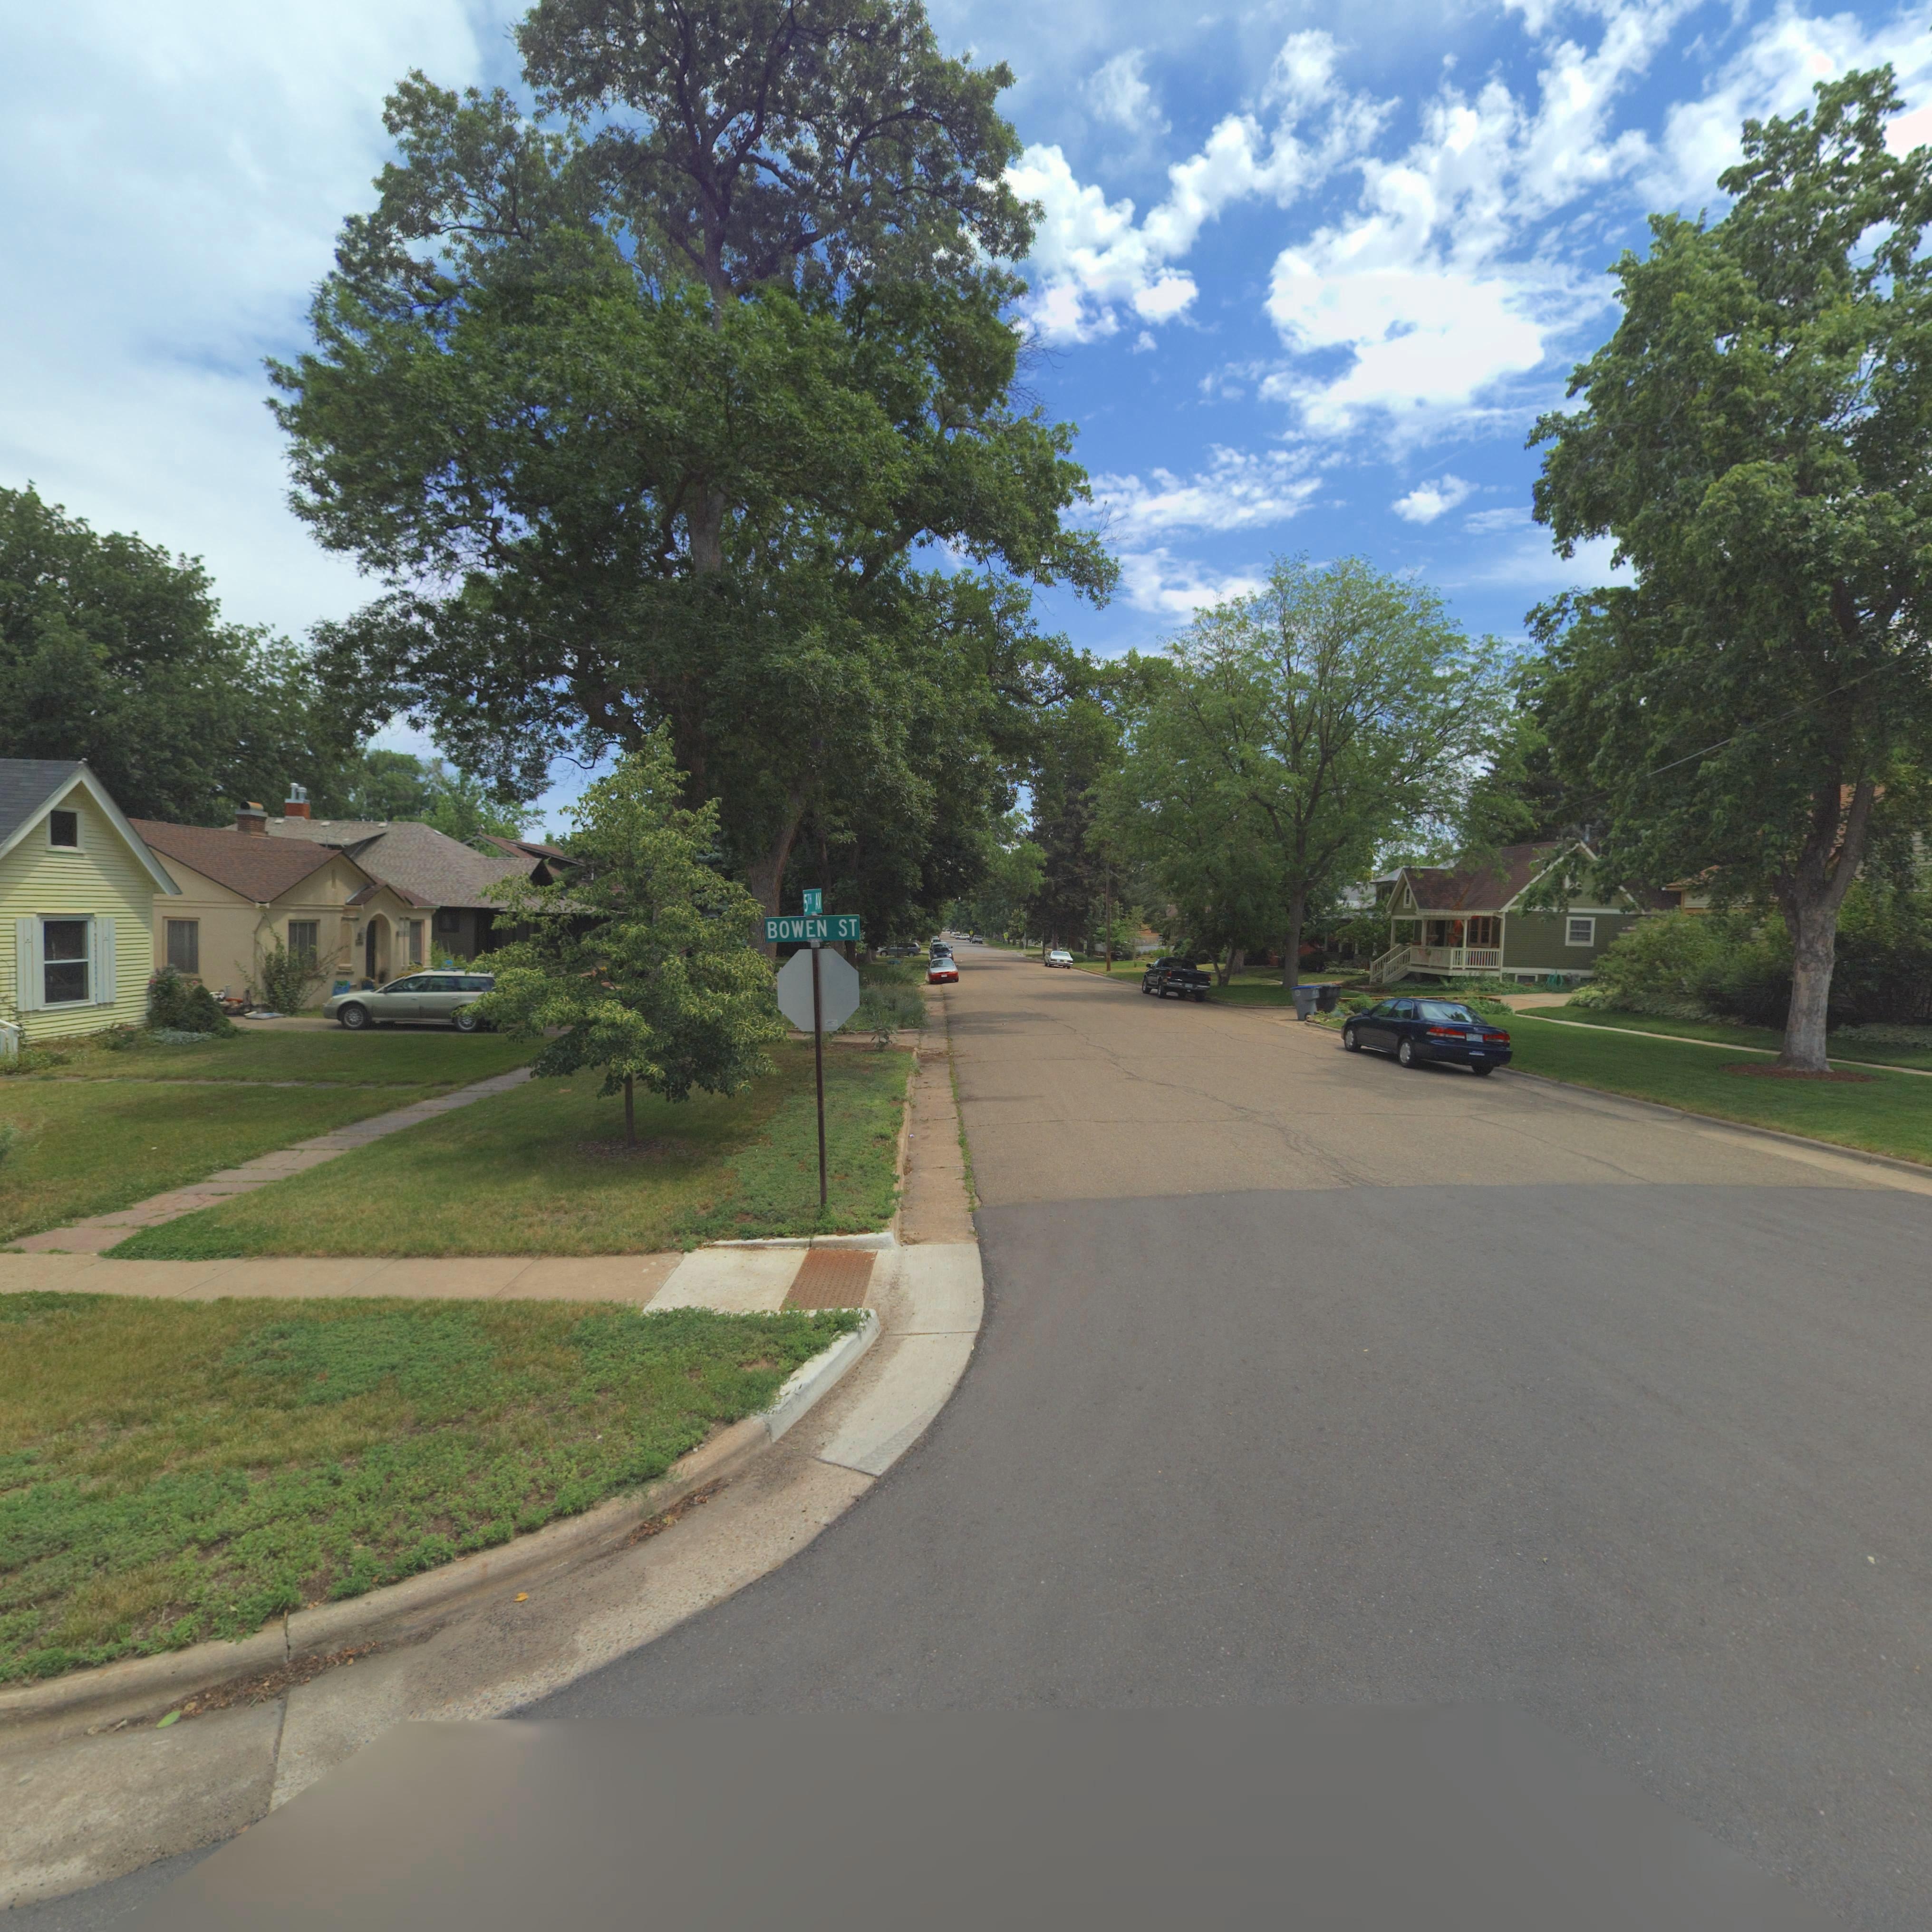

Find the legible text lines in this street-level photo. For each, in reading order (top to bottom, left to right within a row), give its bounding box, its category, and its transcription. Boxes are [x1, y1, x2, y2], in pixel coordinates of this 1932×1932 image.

[803, 891, 821, 912] StreetName: 5TH AV
[766, 918, 858, 939] StreetName: BOWEN ST